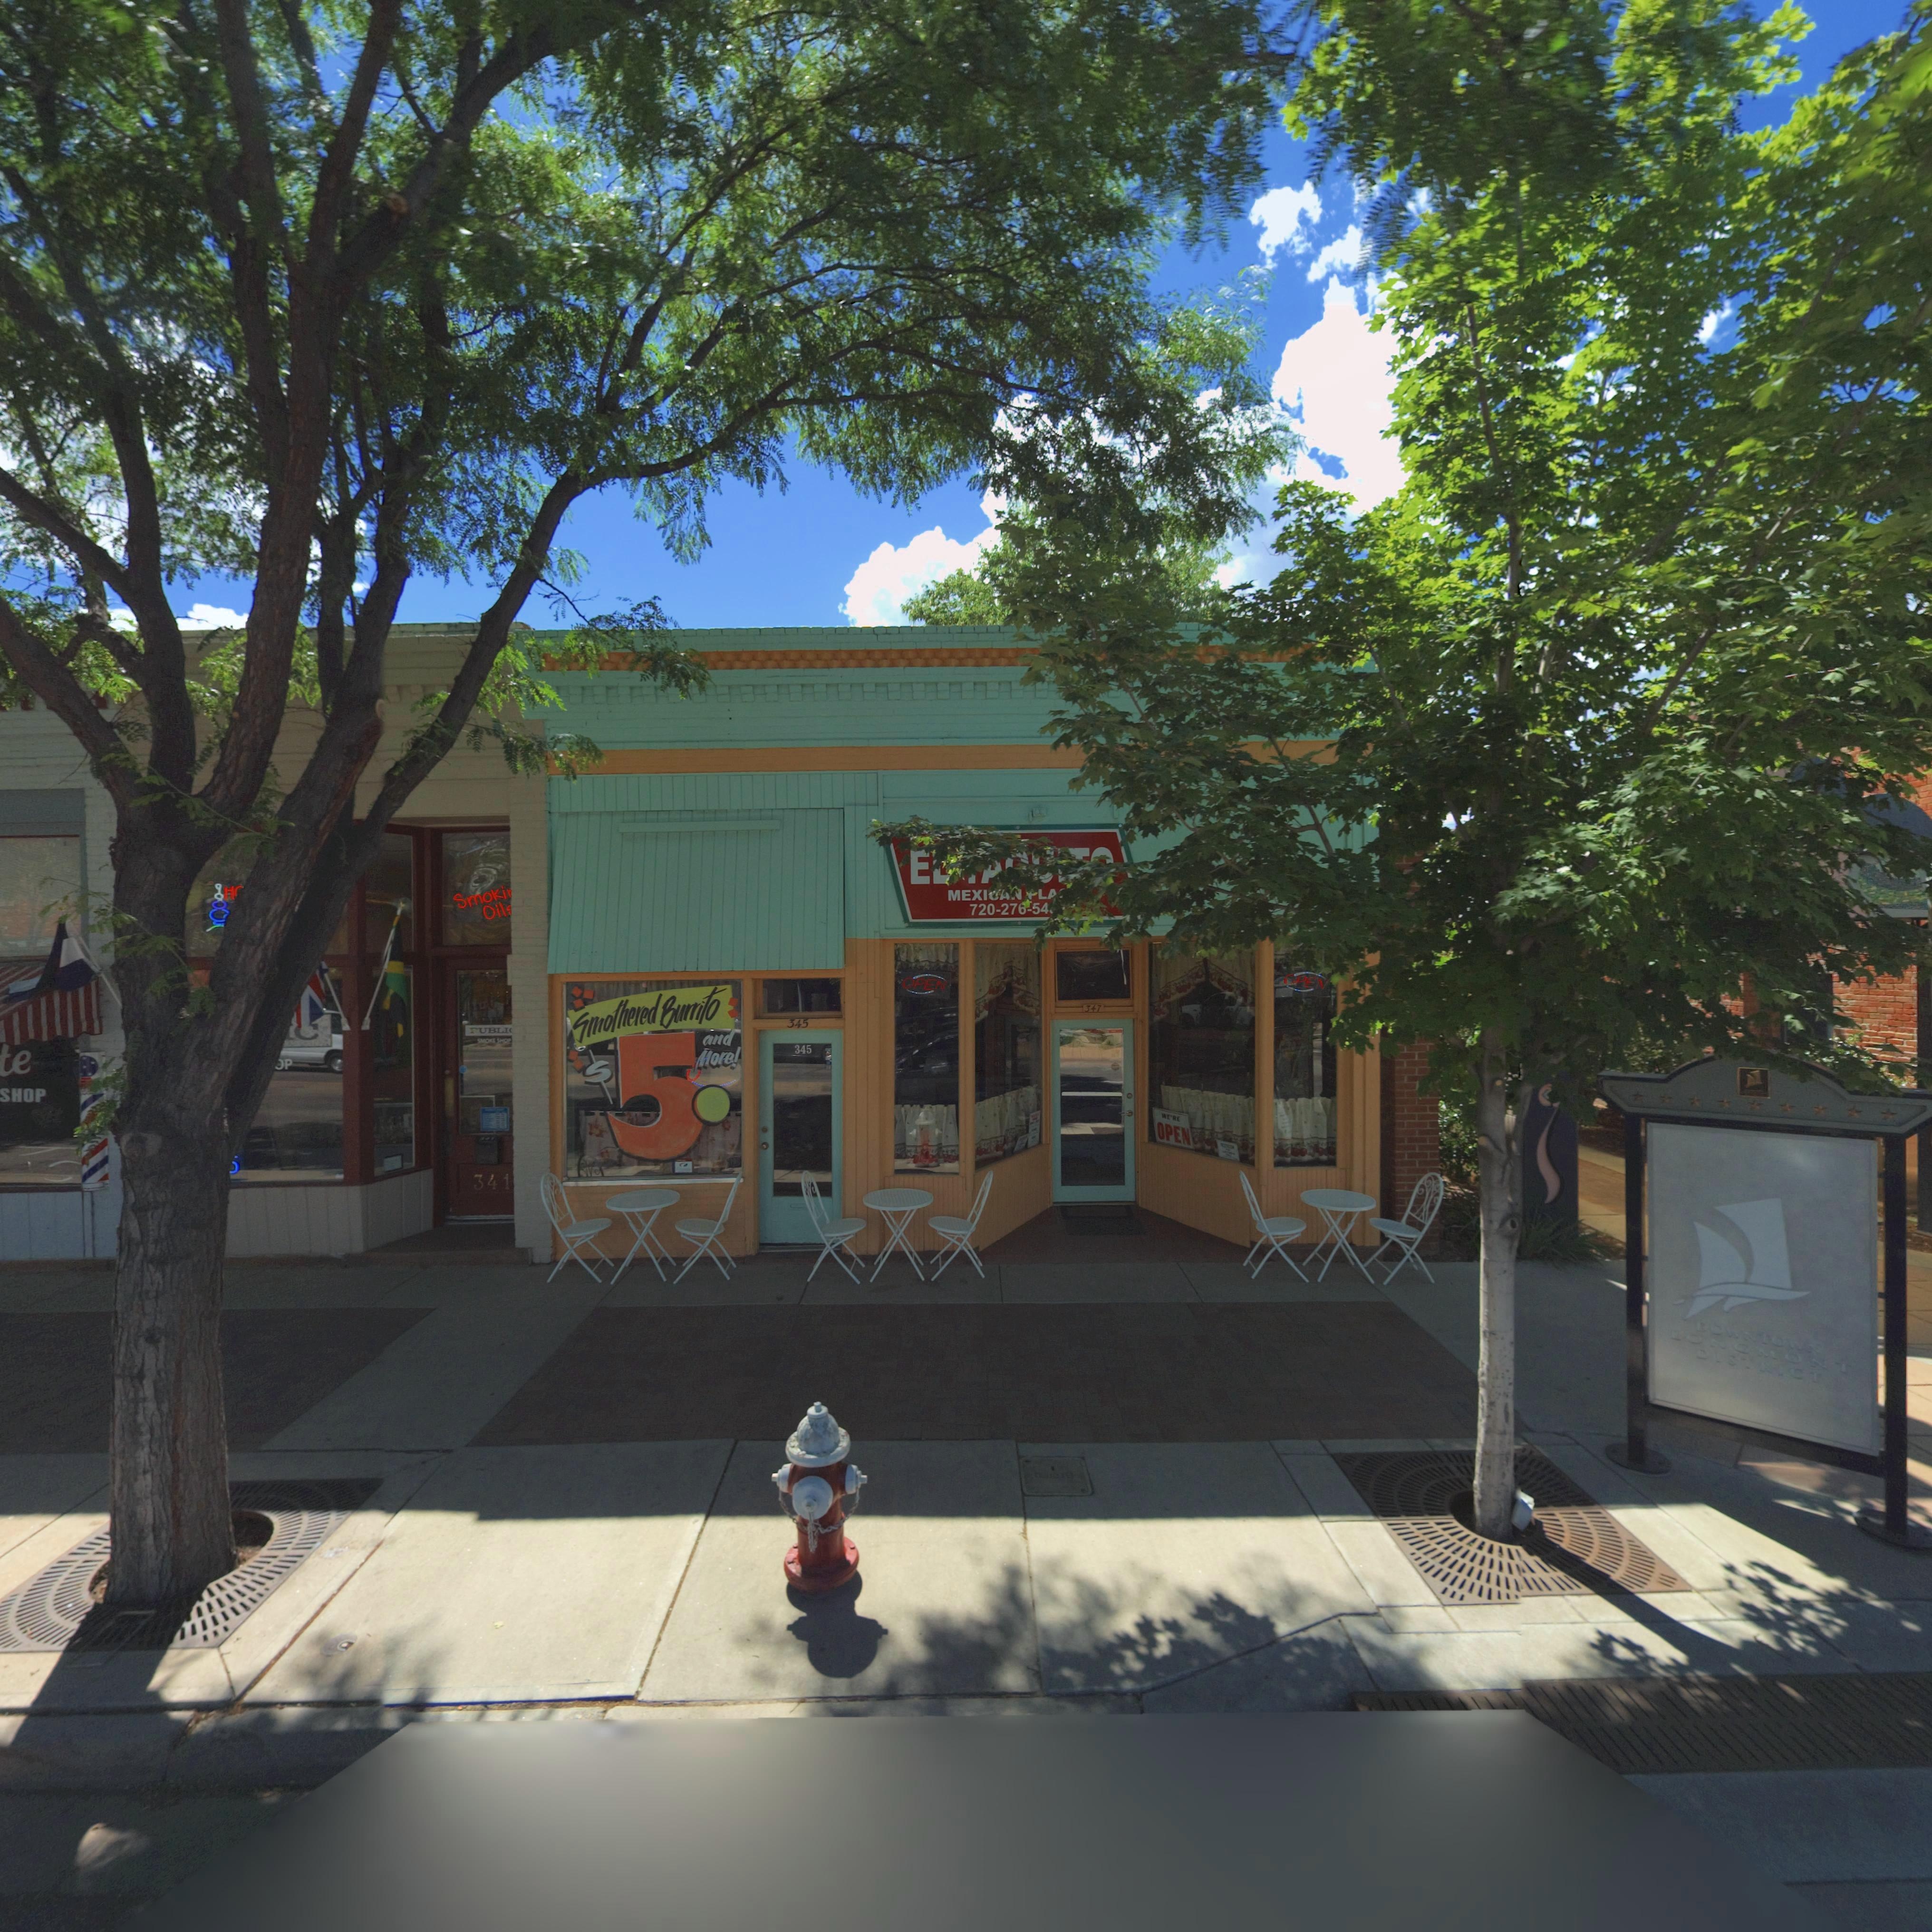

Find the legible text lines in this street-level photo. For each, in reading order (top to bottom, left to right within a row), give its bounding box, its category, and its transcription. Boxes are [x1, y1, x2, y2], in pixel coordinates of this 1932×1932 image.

[909, 845, 1115, 885] BusinessName: E**A****
[947, 887, 1066, 901] BusinessName: MEXI*A* *LA*
[1084, 1004, 1102, 1012] StreetNumber: 347
[786, 1018, 809, 1028] StreetNumber: 345
[794, 1044, 812, 1054] StreetNumber: 345
[0, 1042, 33, 1077] BusinessName: te
[0, 1087, 47, 1103] BusinessName: SHOP
[473, 1173, 510, 1191] StreetNumber: 341